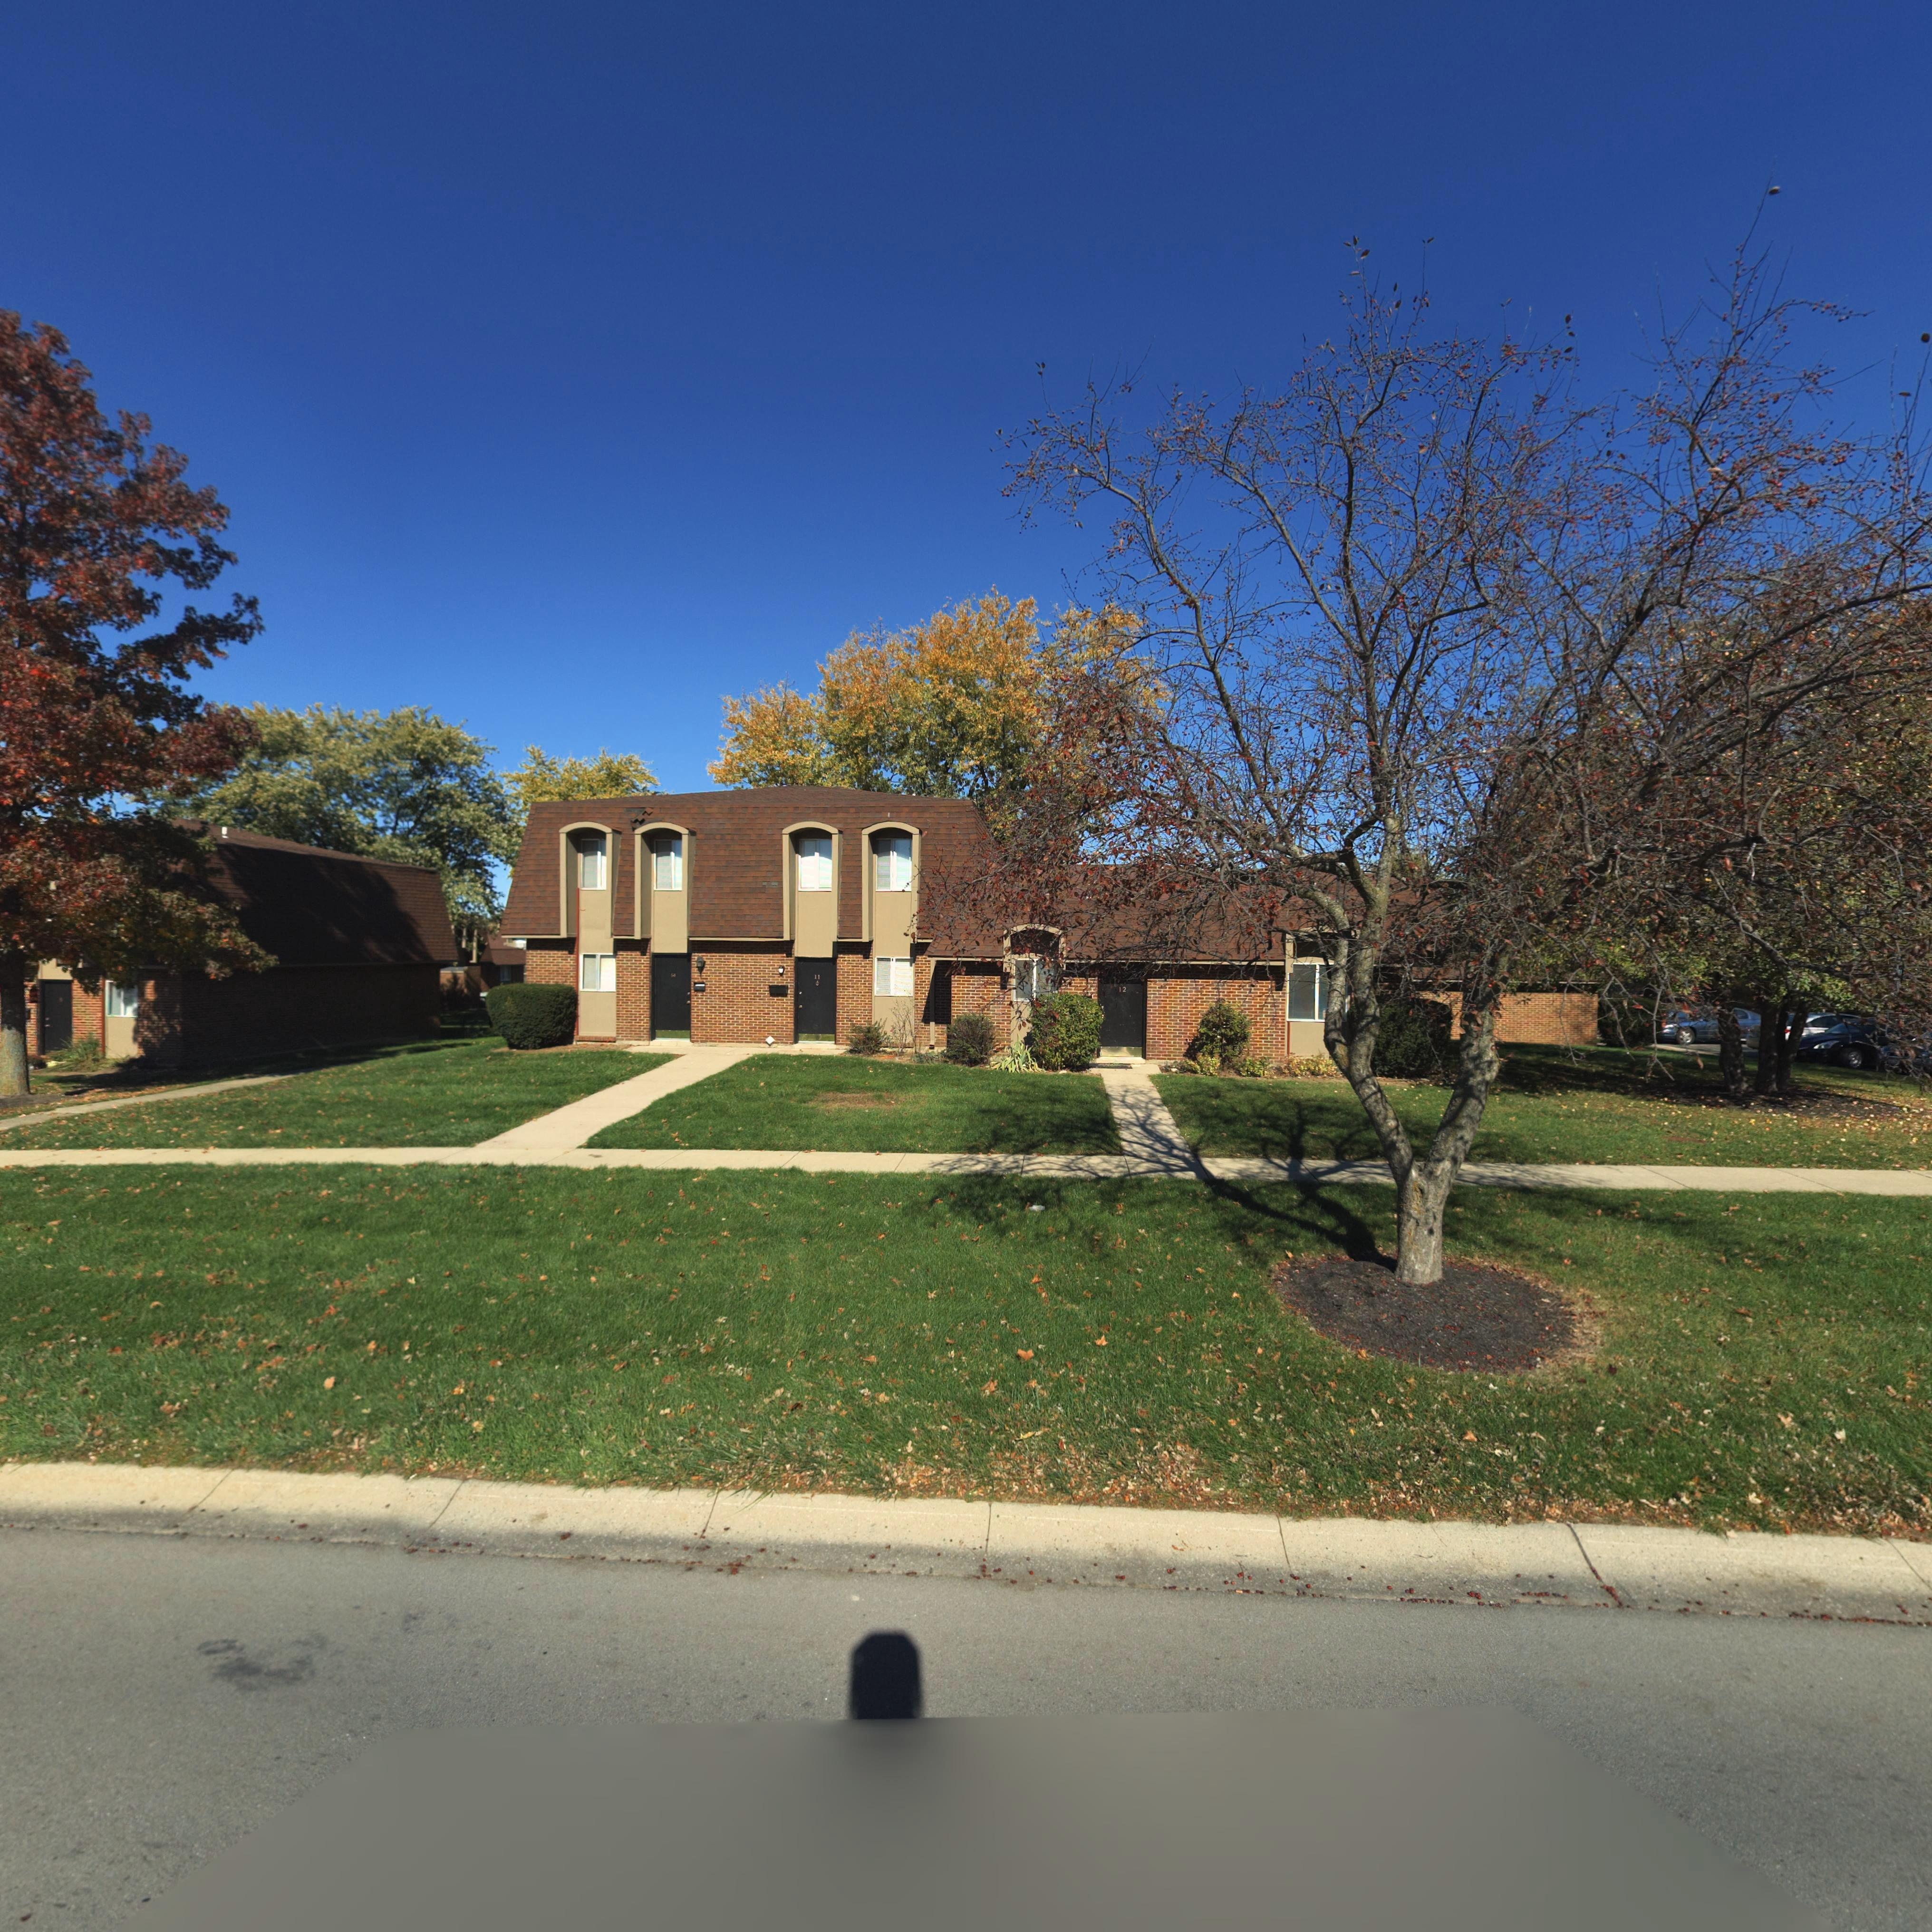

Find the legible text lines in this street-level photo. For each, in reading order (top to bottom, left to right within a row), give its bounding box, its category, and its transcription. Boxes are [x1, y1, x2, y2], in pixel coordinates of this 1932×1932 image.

[670, 973, 676, 978] StreetNumber: 1*
[814, 974, 821, 980] StreetNumber: 11
[1119, 986, 1127, 993] StreetNumber: 12